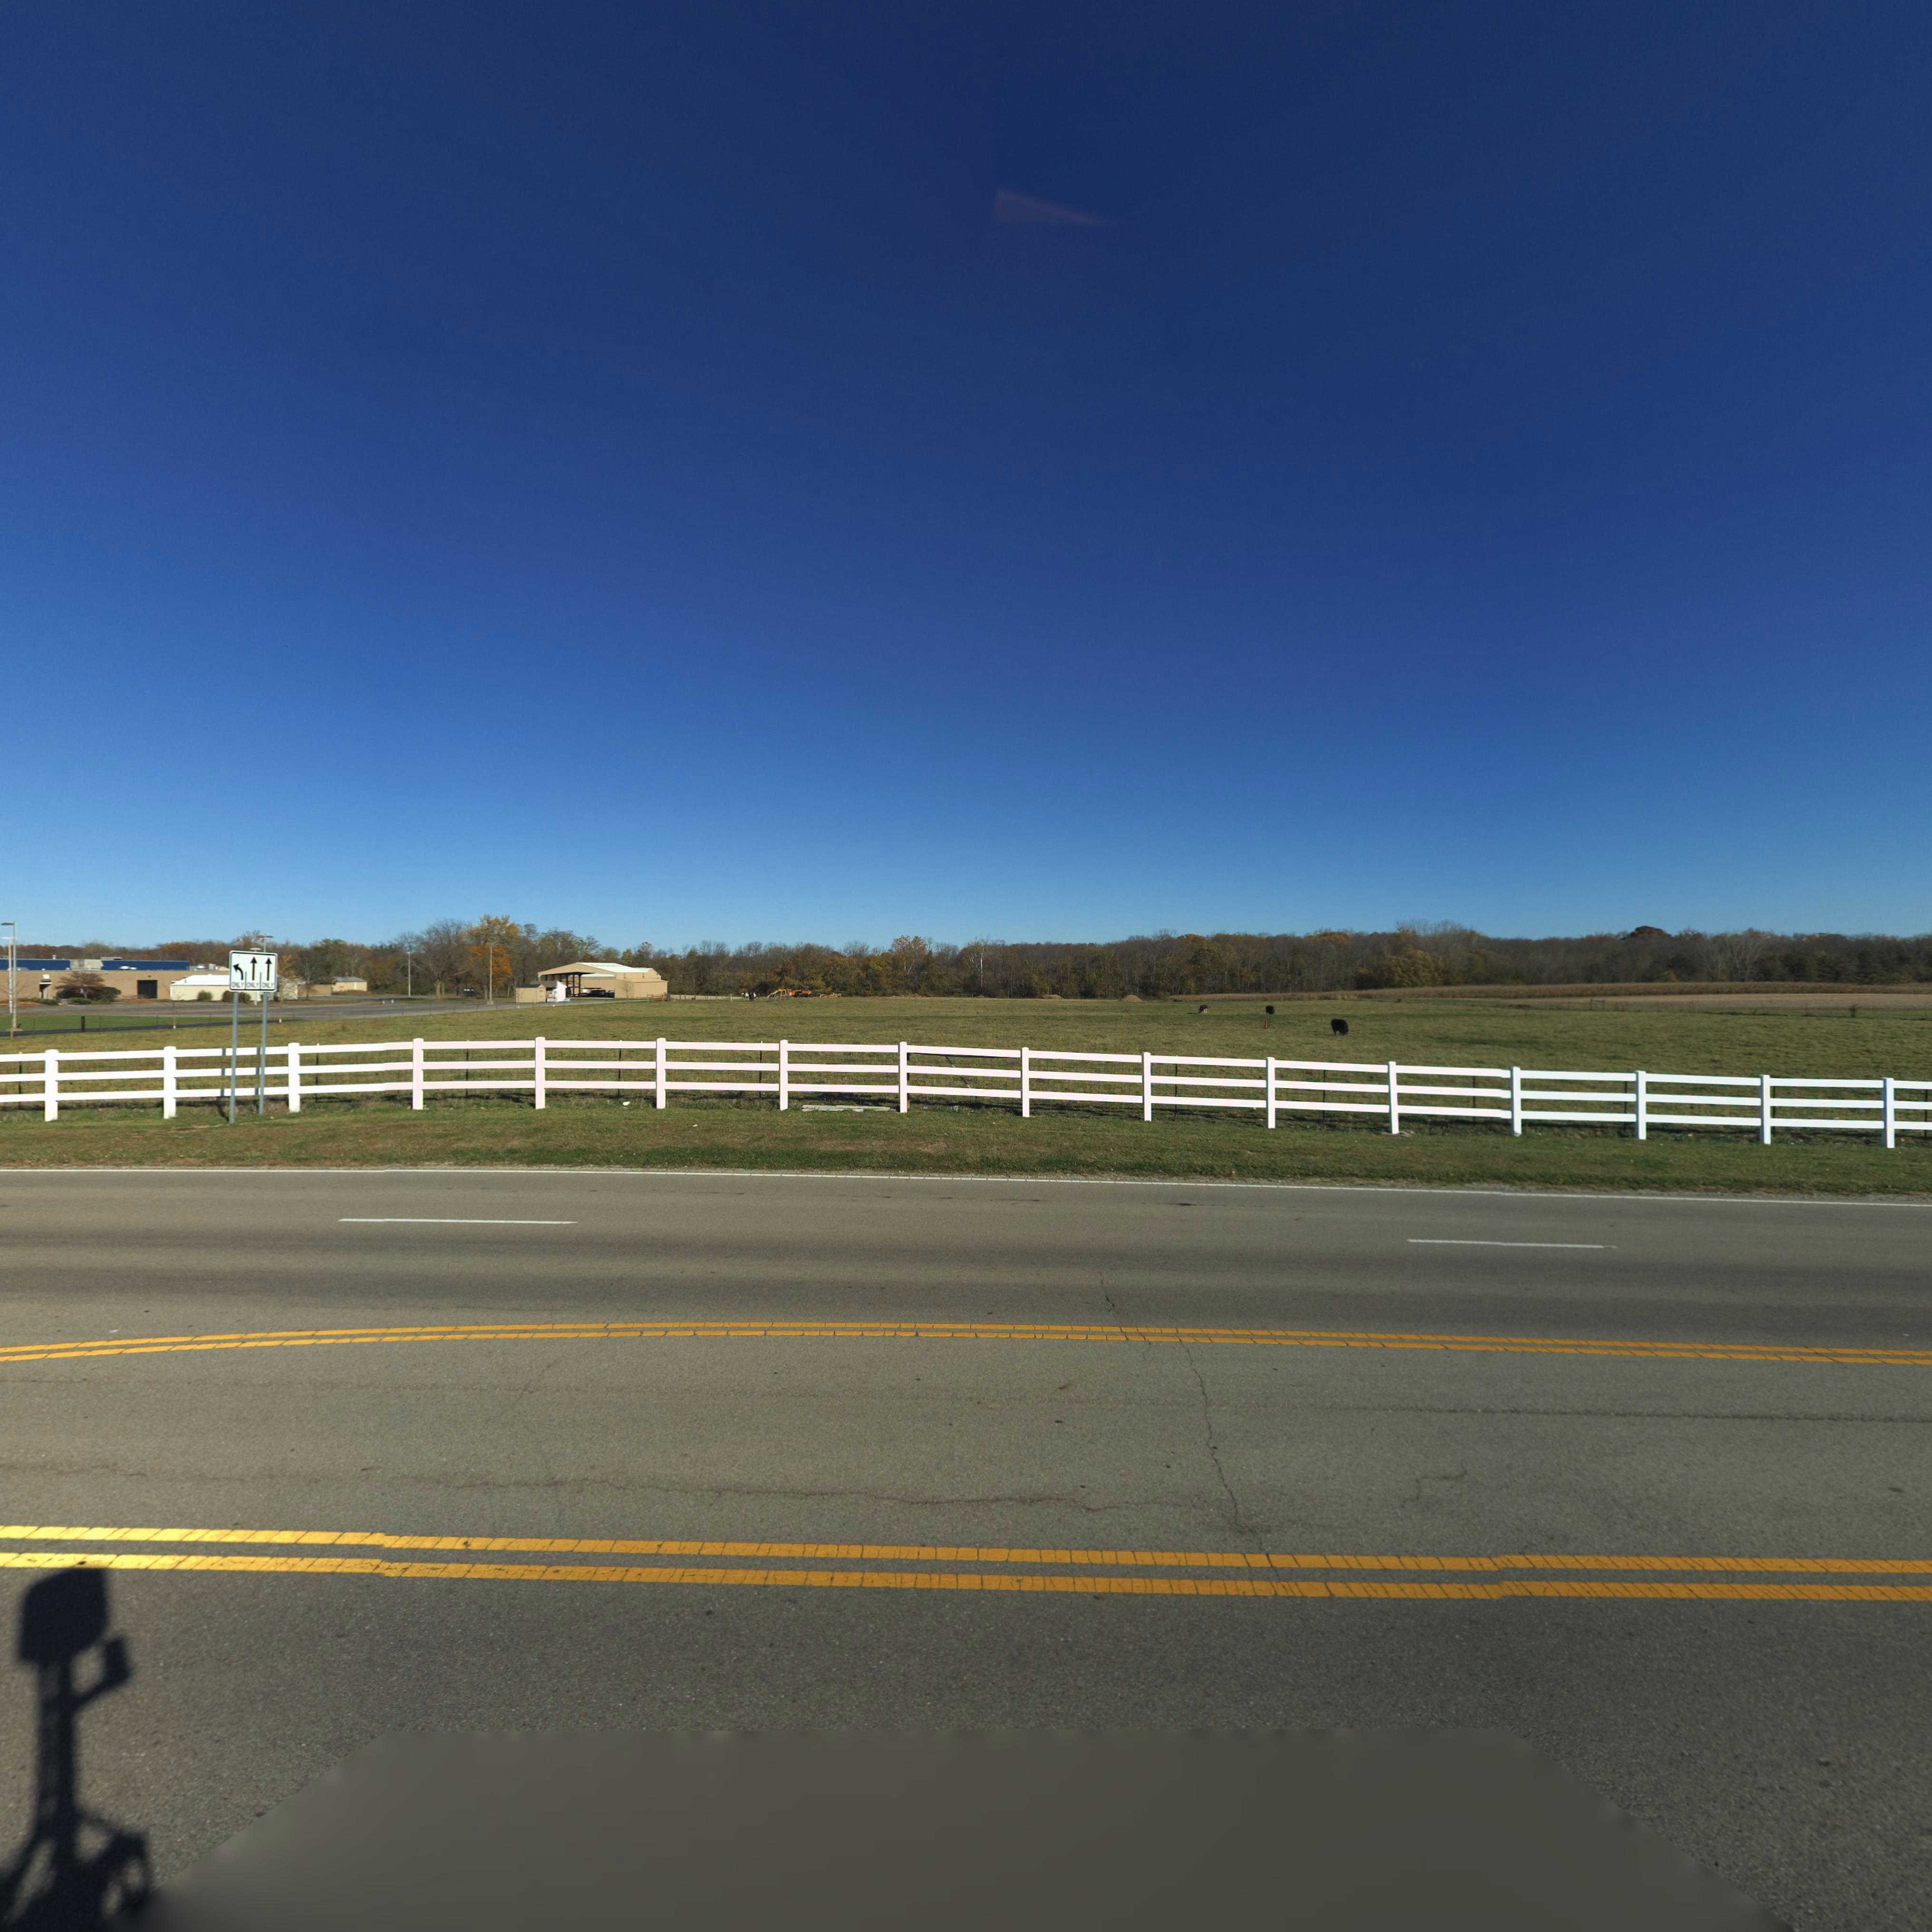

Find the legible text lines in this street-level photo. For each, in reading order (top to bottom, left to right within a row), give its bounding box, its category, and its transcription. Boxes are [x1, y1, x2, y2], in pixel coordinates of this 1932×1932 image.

[42, 974, 49, 979] StreetNumber: *6